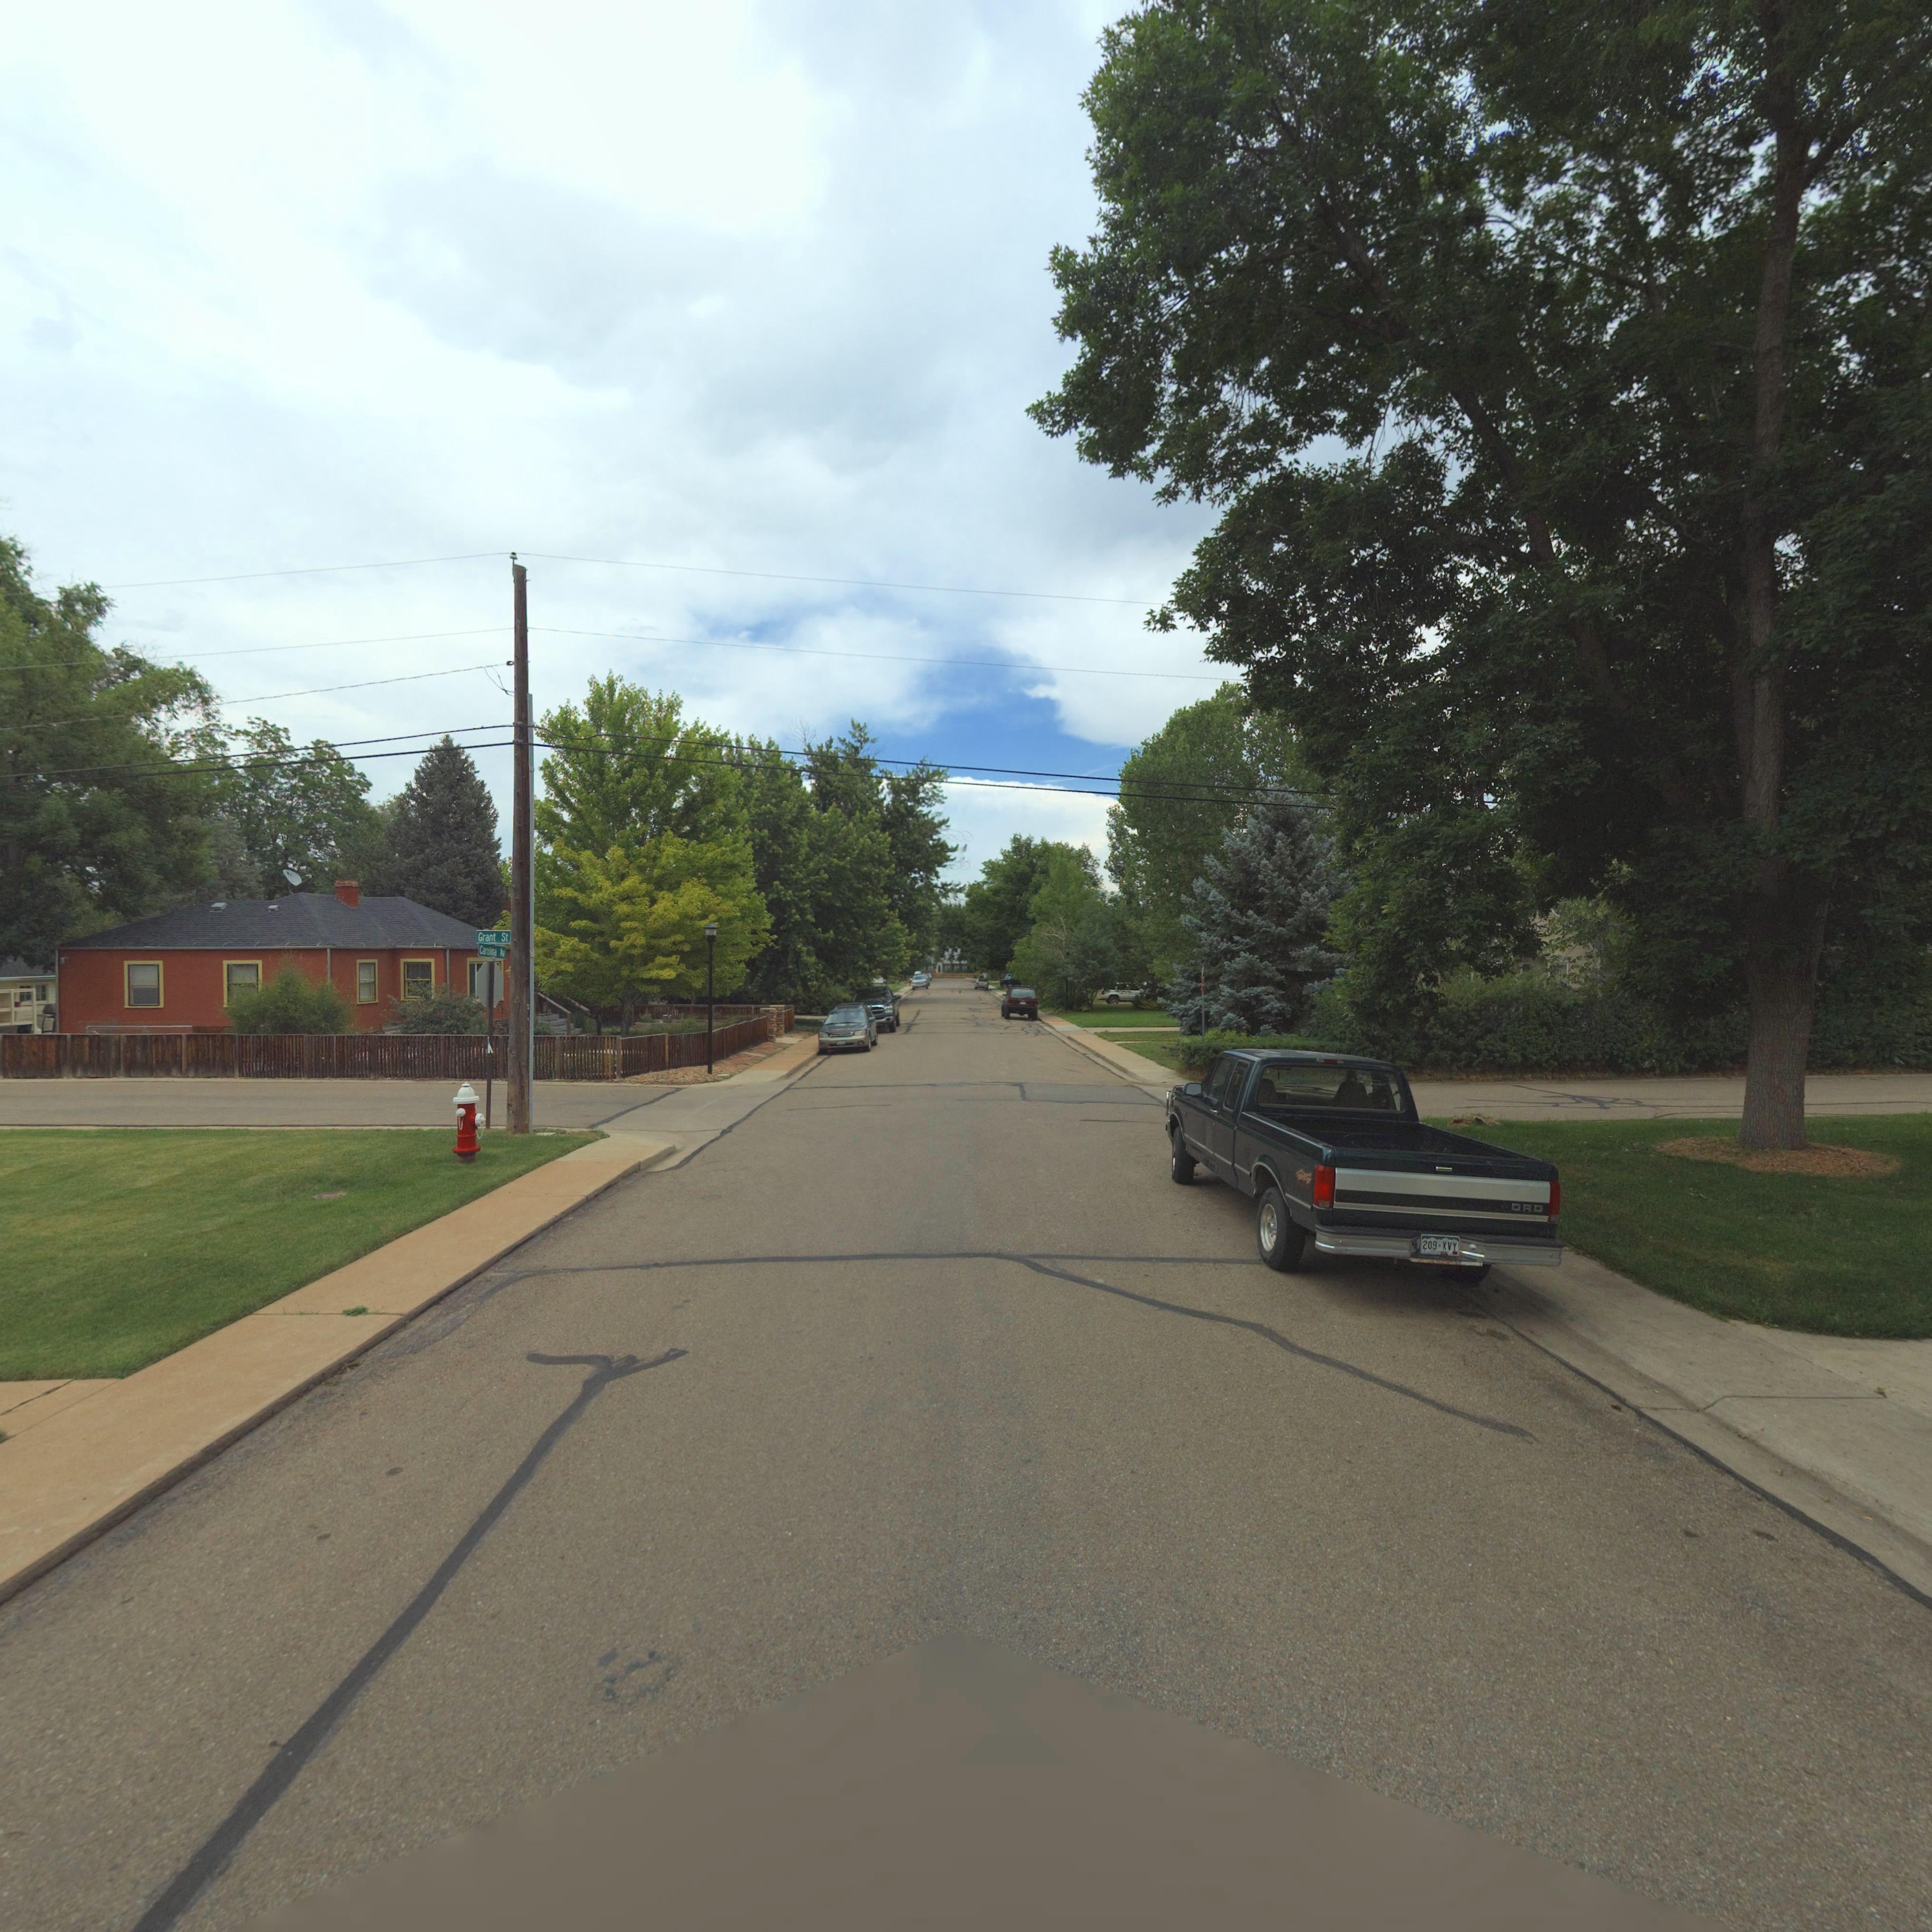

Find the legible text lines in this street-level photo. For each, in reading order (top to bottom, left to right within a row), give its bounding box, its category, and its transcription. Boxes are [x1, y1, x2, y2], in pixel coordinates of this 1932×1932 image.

[478, 932, 508, 941] StreetName: Grant St
[480, 944, 505, 956] StreetName: Carolina Av